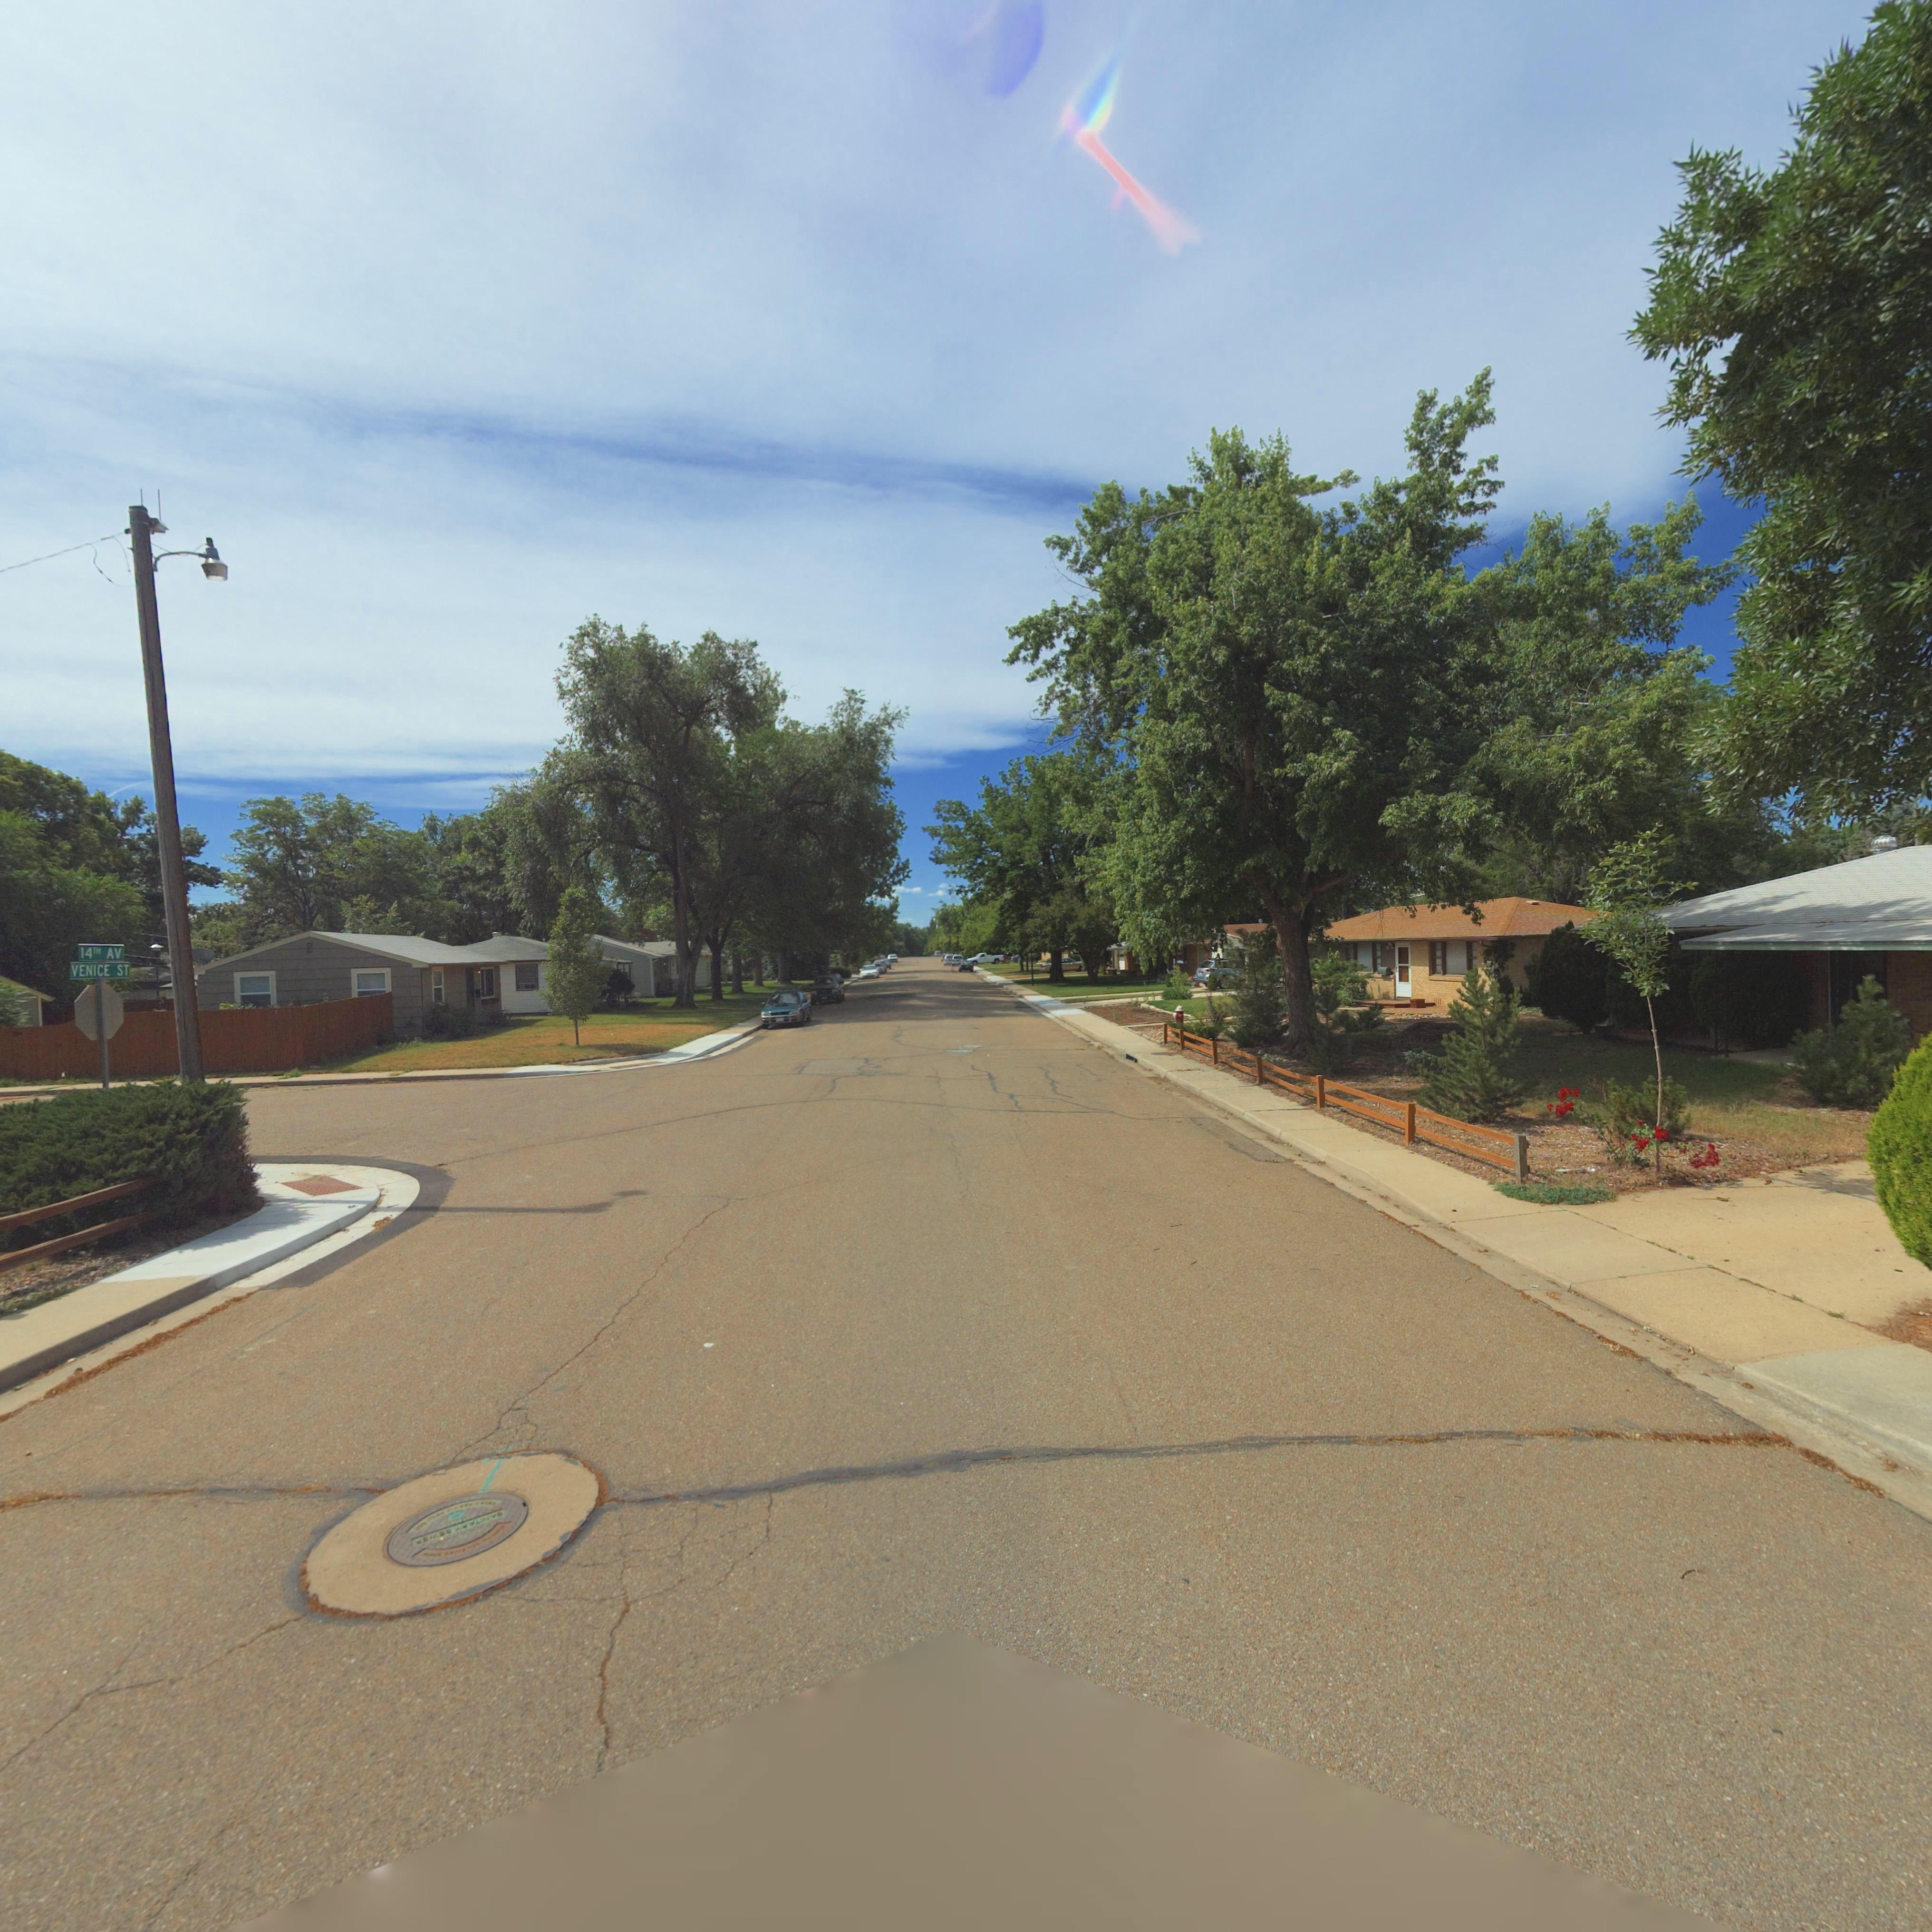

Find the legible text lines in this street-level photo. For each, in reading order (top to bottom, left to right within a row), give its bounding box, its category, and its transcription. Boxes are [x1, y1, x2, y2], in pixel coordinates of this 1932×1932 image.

[80, 947, 122, 960] StreetName: 14TH AV
[71, 964, 129, 977] StreetName: VENICE ST